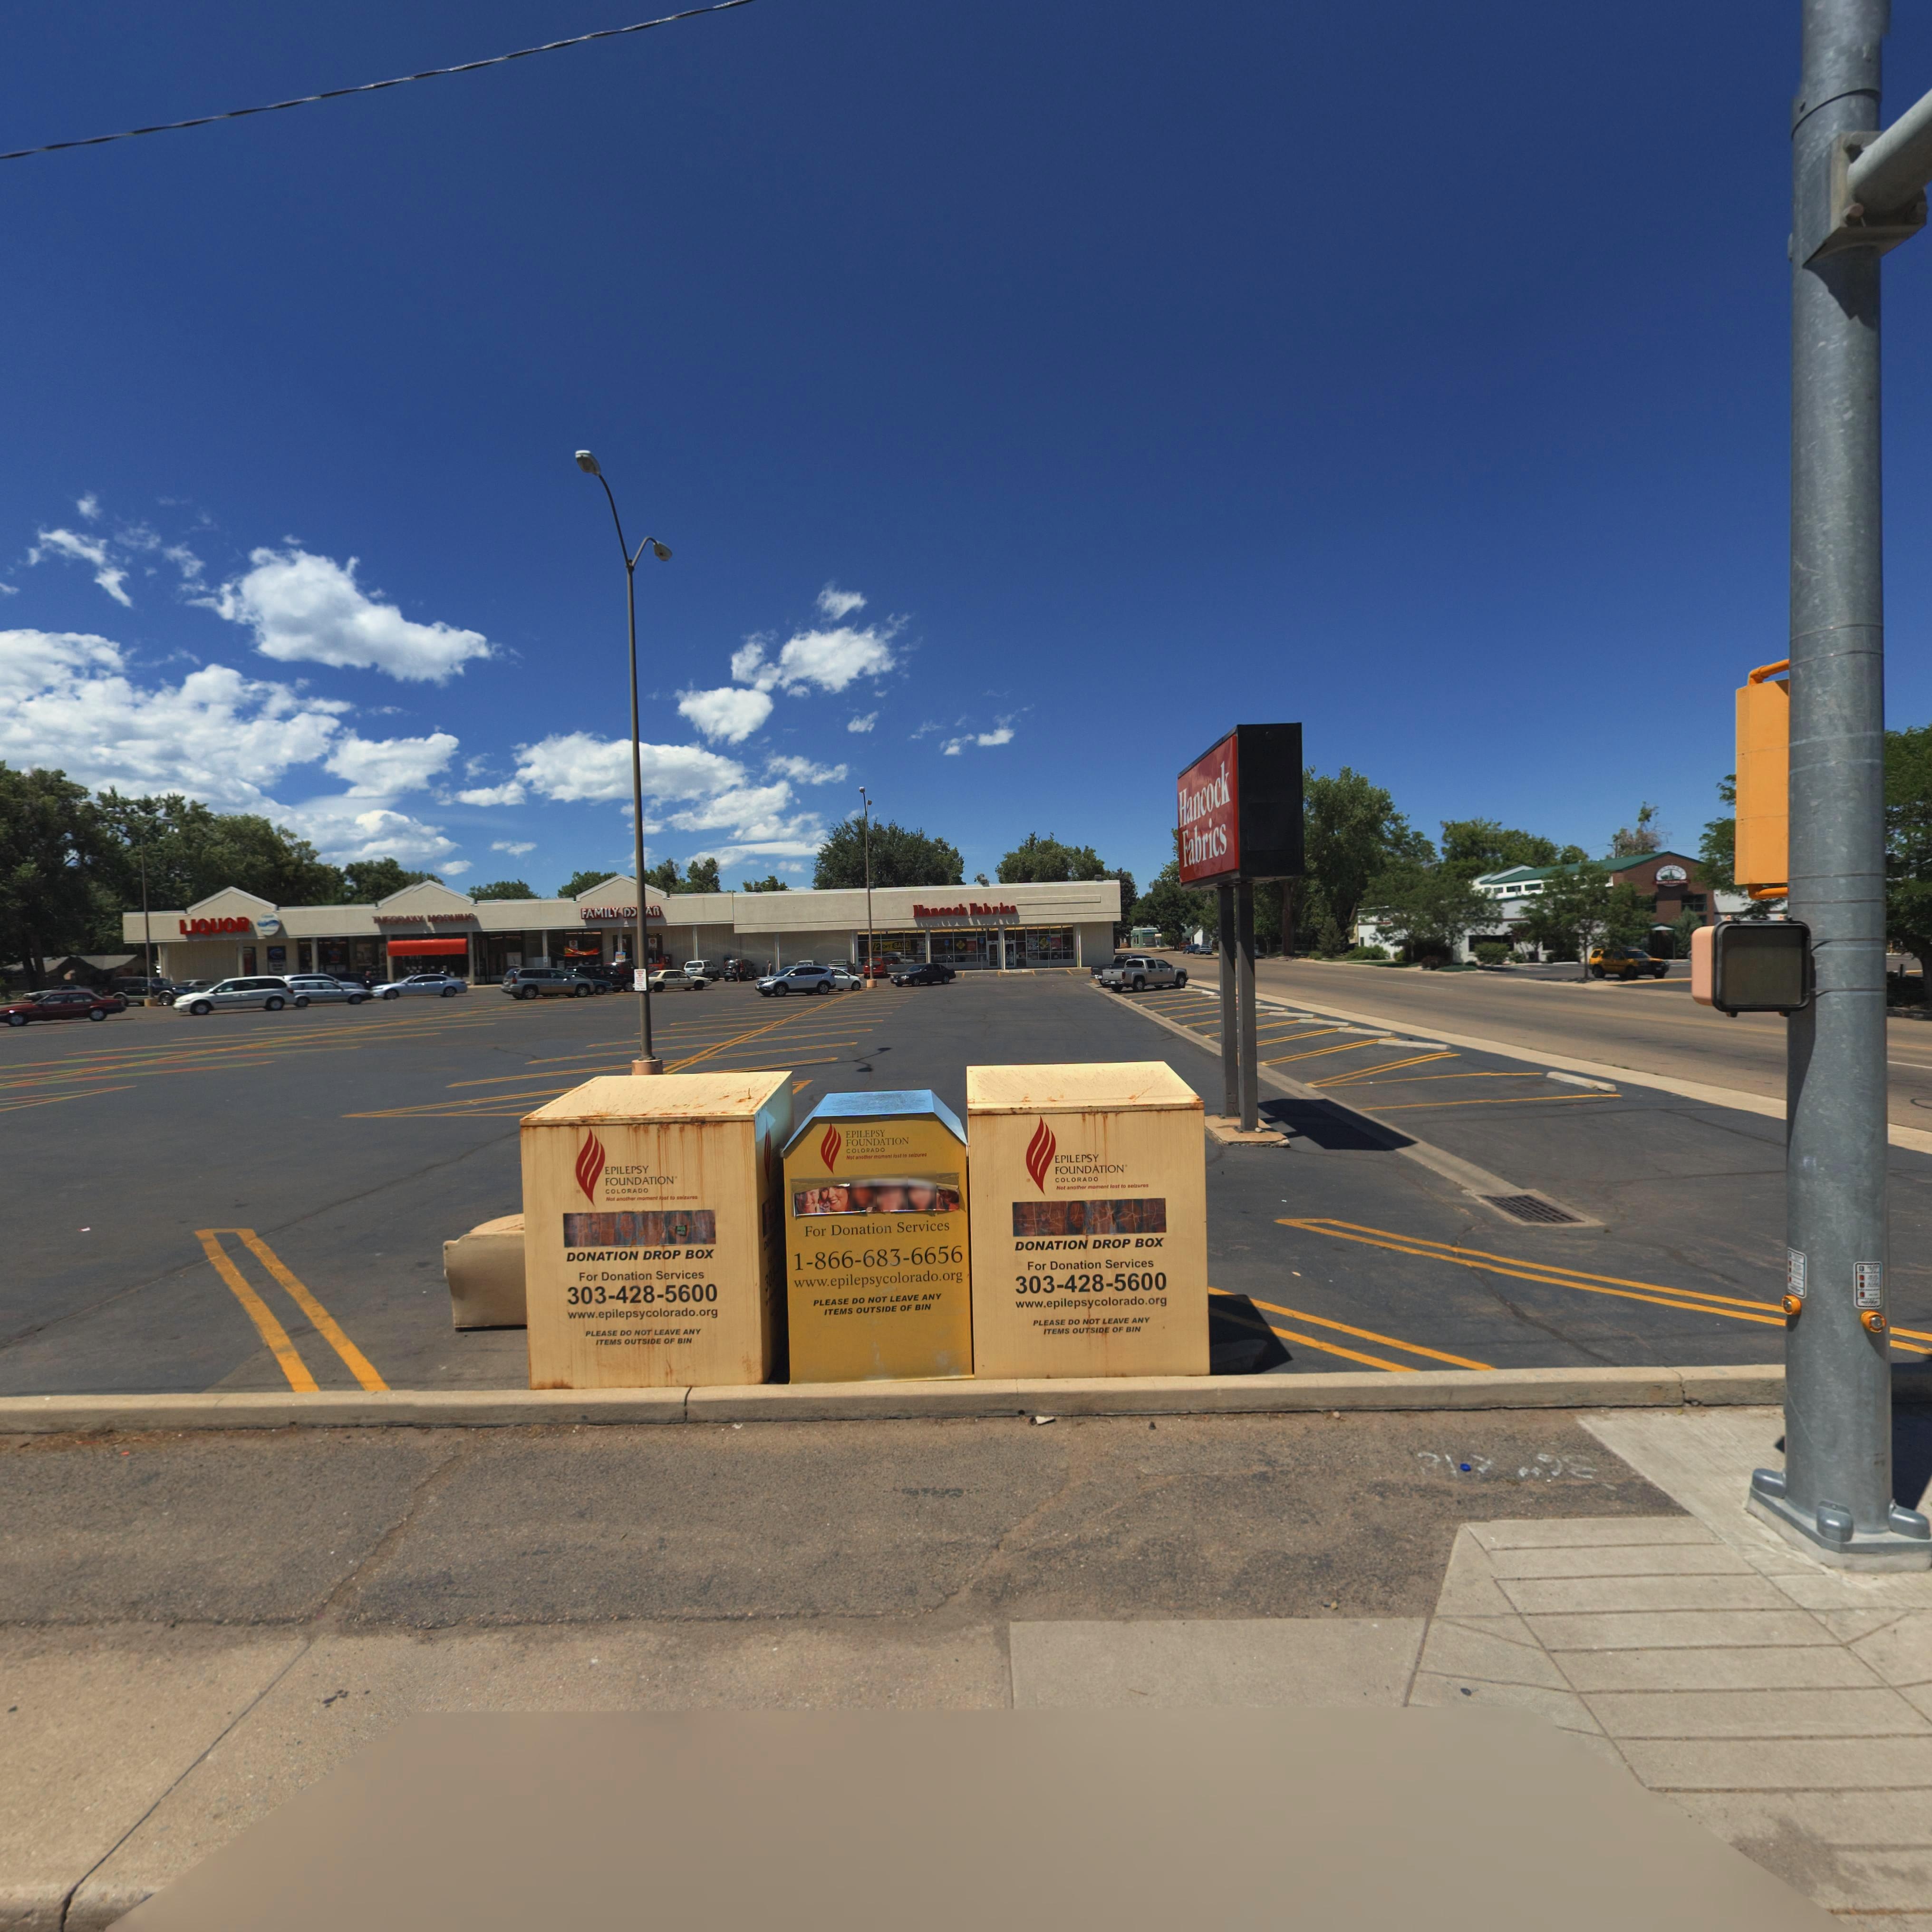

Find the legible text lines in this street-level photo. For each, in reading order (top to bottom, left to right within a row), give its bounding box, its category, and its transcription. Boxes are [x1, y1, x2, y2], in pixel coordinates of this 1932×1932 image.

[1178, 760, 1230, 828] BusinessName: Hancock
[1181, 817, 1227, 868] BusinessName: Fabrics
[1656, 865, 1686, 877] BusinessName: LONGMONT
[1656, 879, 1689, 884] BusinessName: DAIRY FARM INC.
[371, 912, 475, 924] BusinessName: TUESDAY MORNING
[580, 905, 661, 919] BusinessName: FAMILY D***AR
[913, 902, 1016, 917] BusinessName: Hancock Fabrics